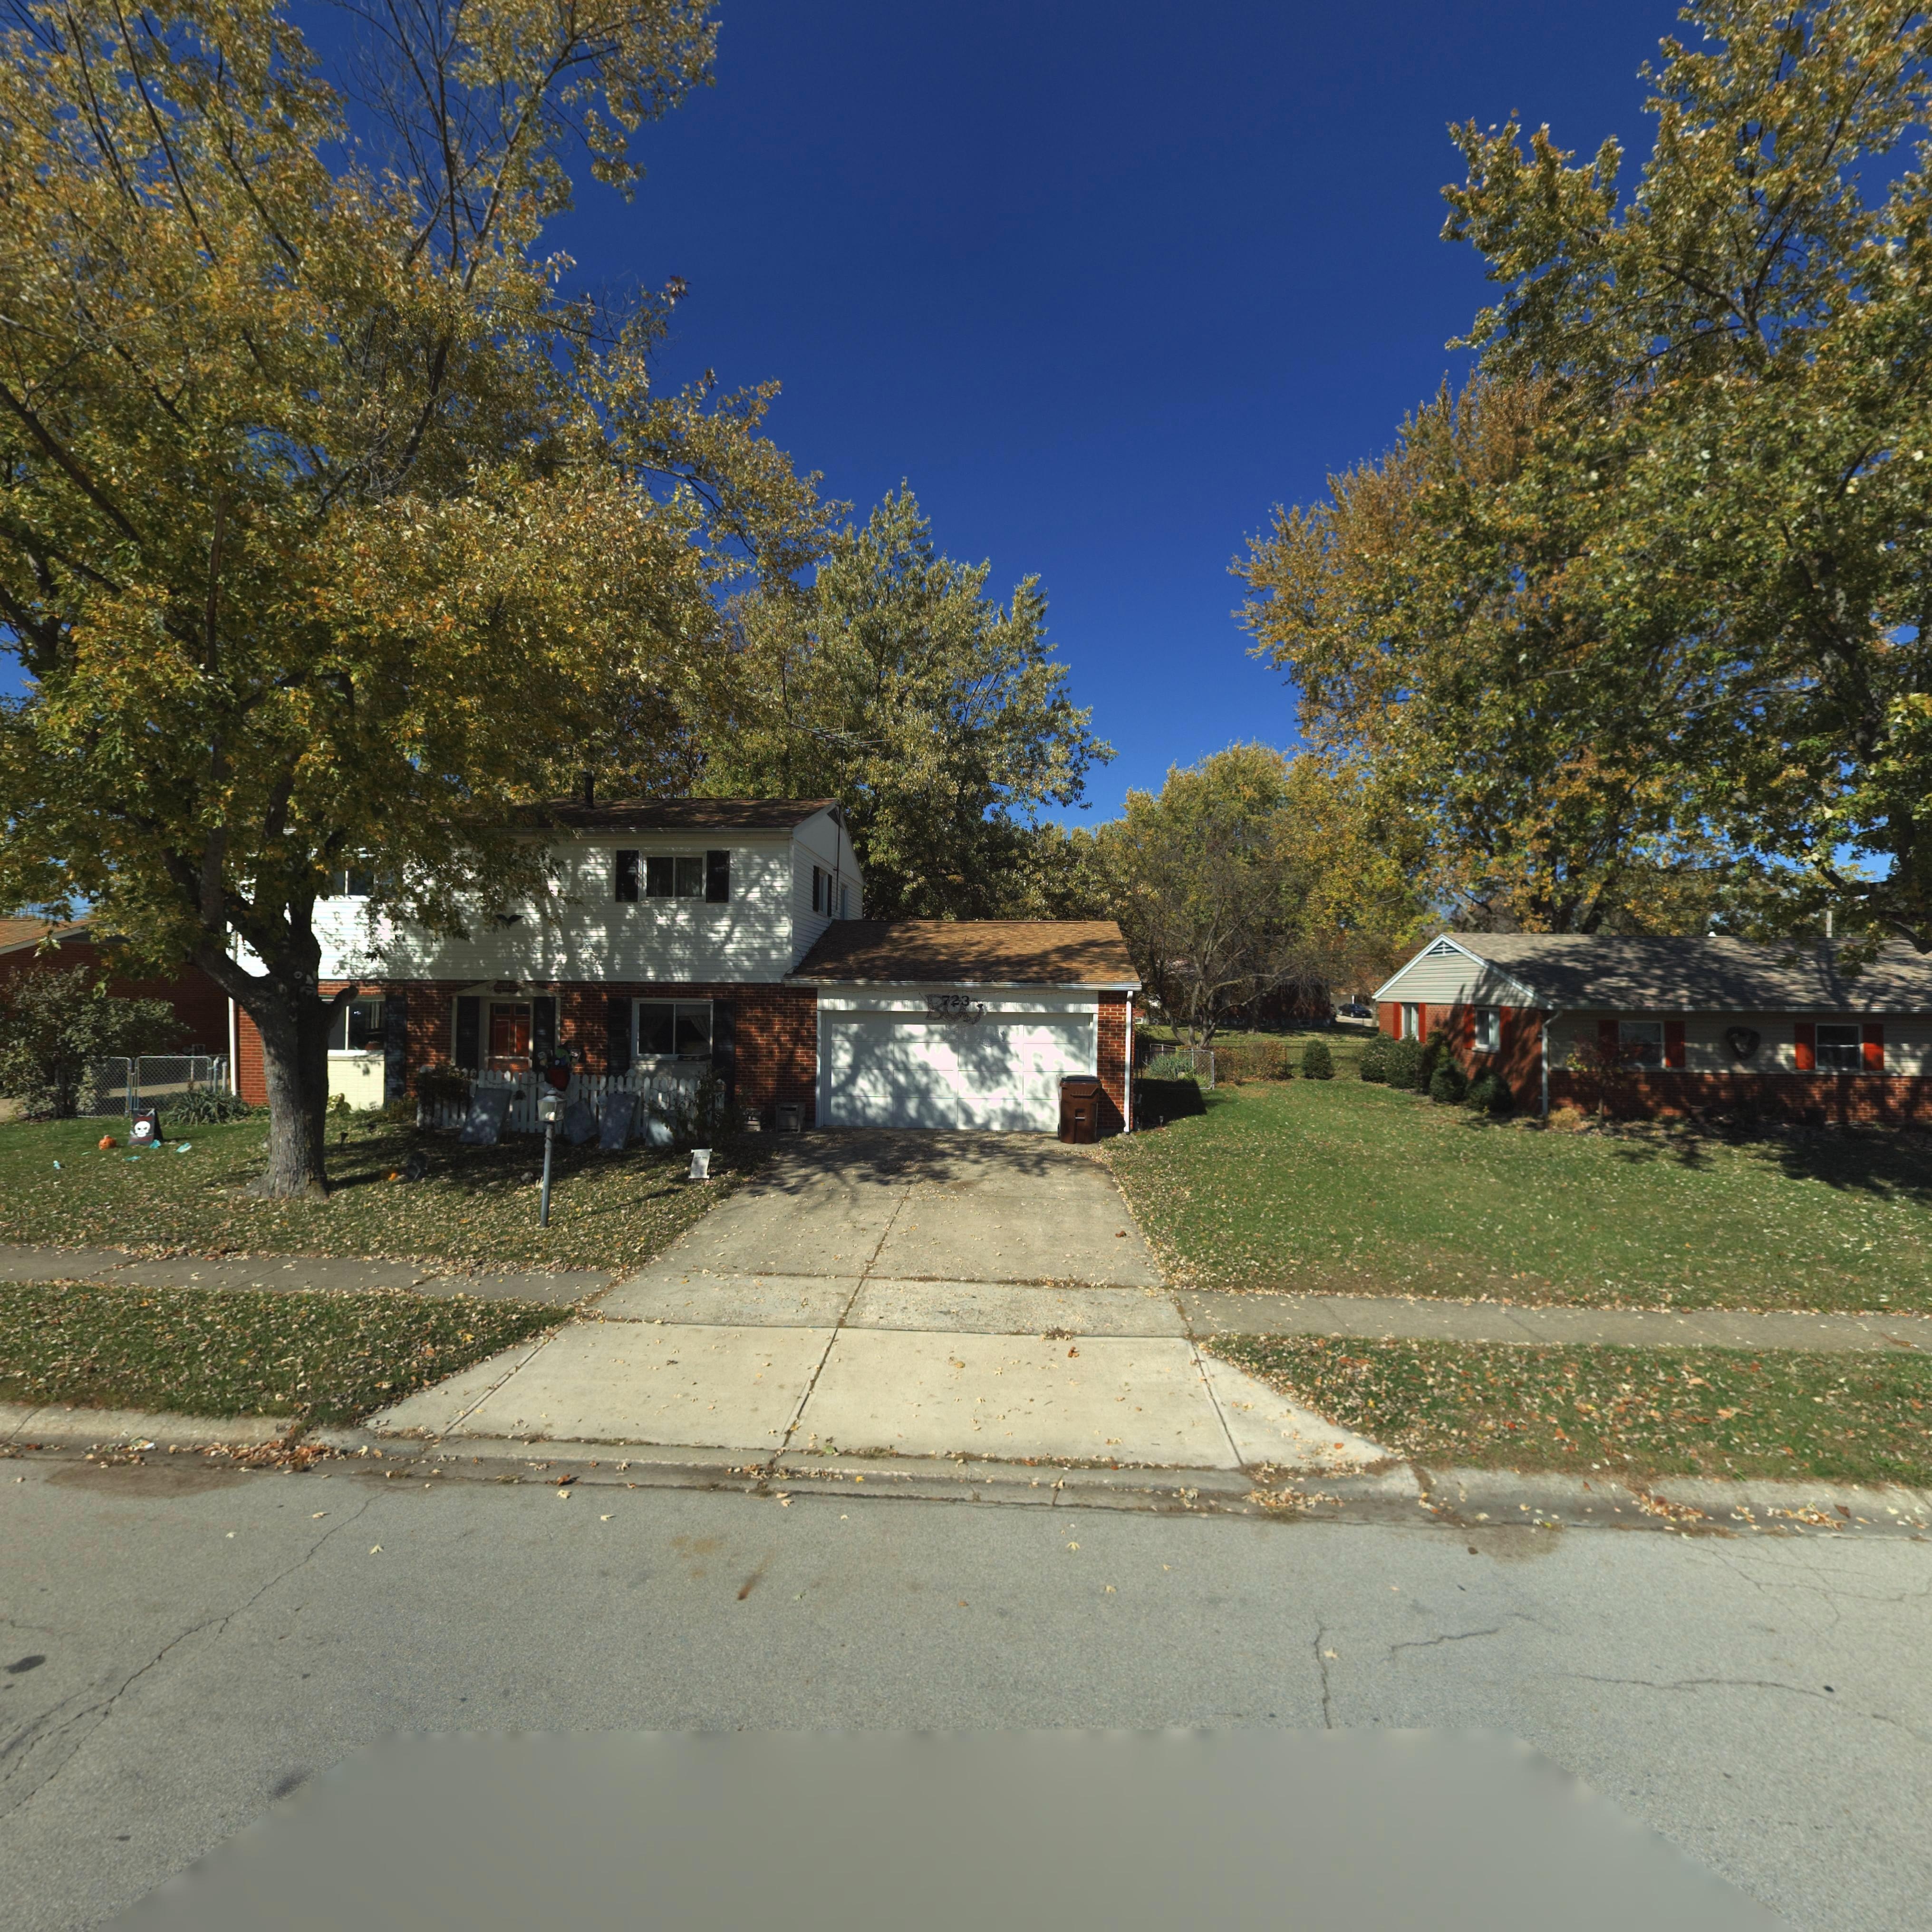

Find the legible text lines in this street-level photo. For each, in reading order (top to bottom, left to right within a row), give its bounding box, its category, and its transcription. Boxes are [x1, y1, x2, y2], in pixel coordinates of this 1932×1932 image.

[942, 995, 970, 1006] StreetNumber: 723